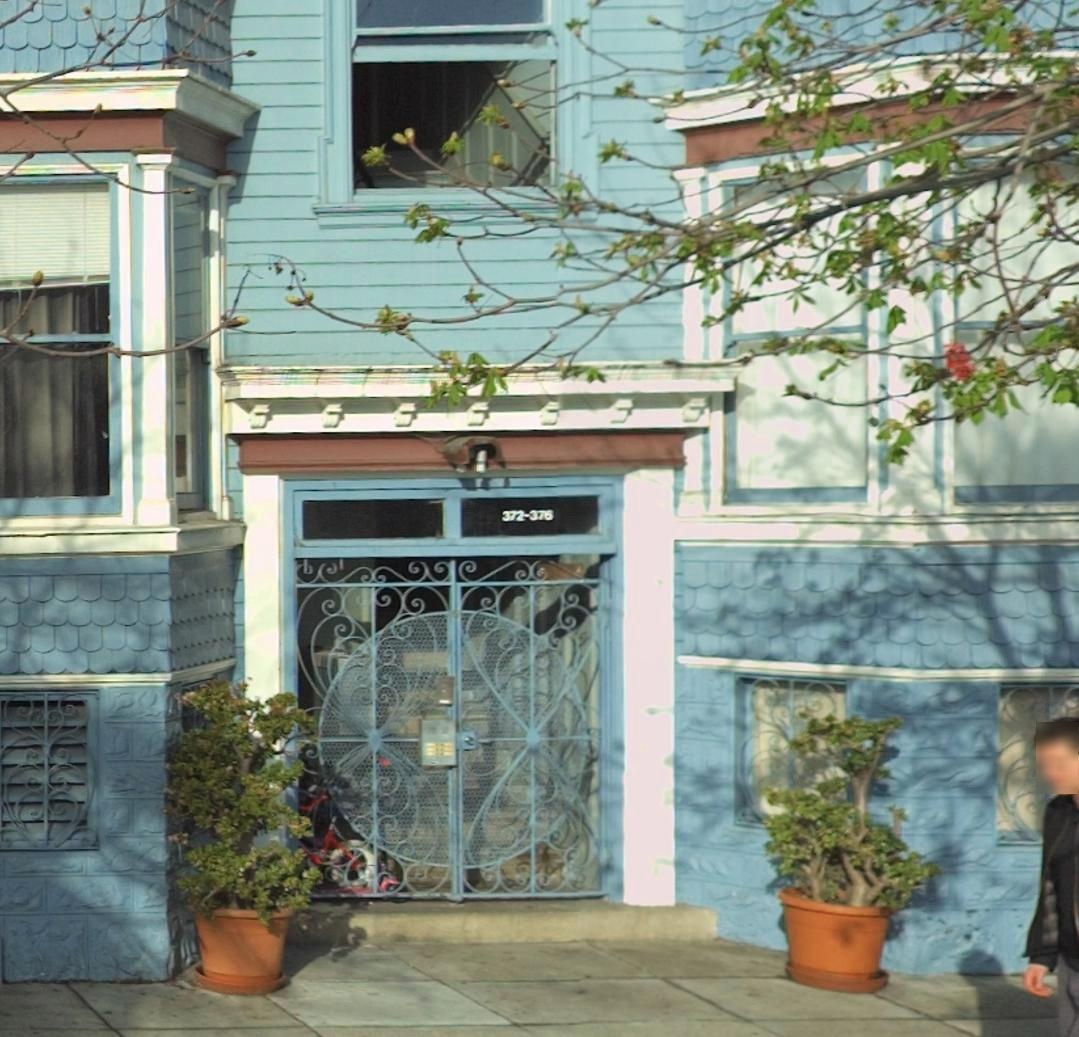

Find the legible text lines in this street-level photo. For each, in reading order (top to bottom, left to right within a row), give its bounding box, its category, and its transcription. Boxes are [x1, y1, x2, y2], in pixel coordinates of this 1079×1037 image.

[500, 507, 556, 524] StreetNumber: 372-376